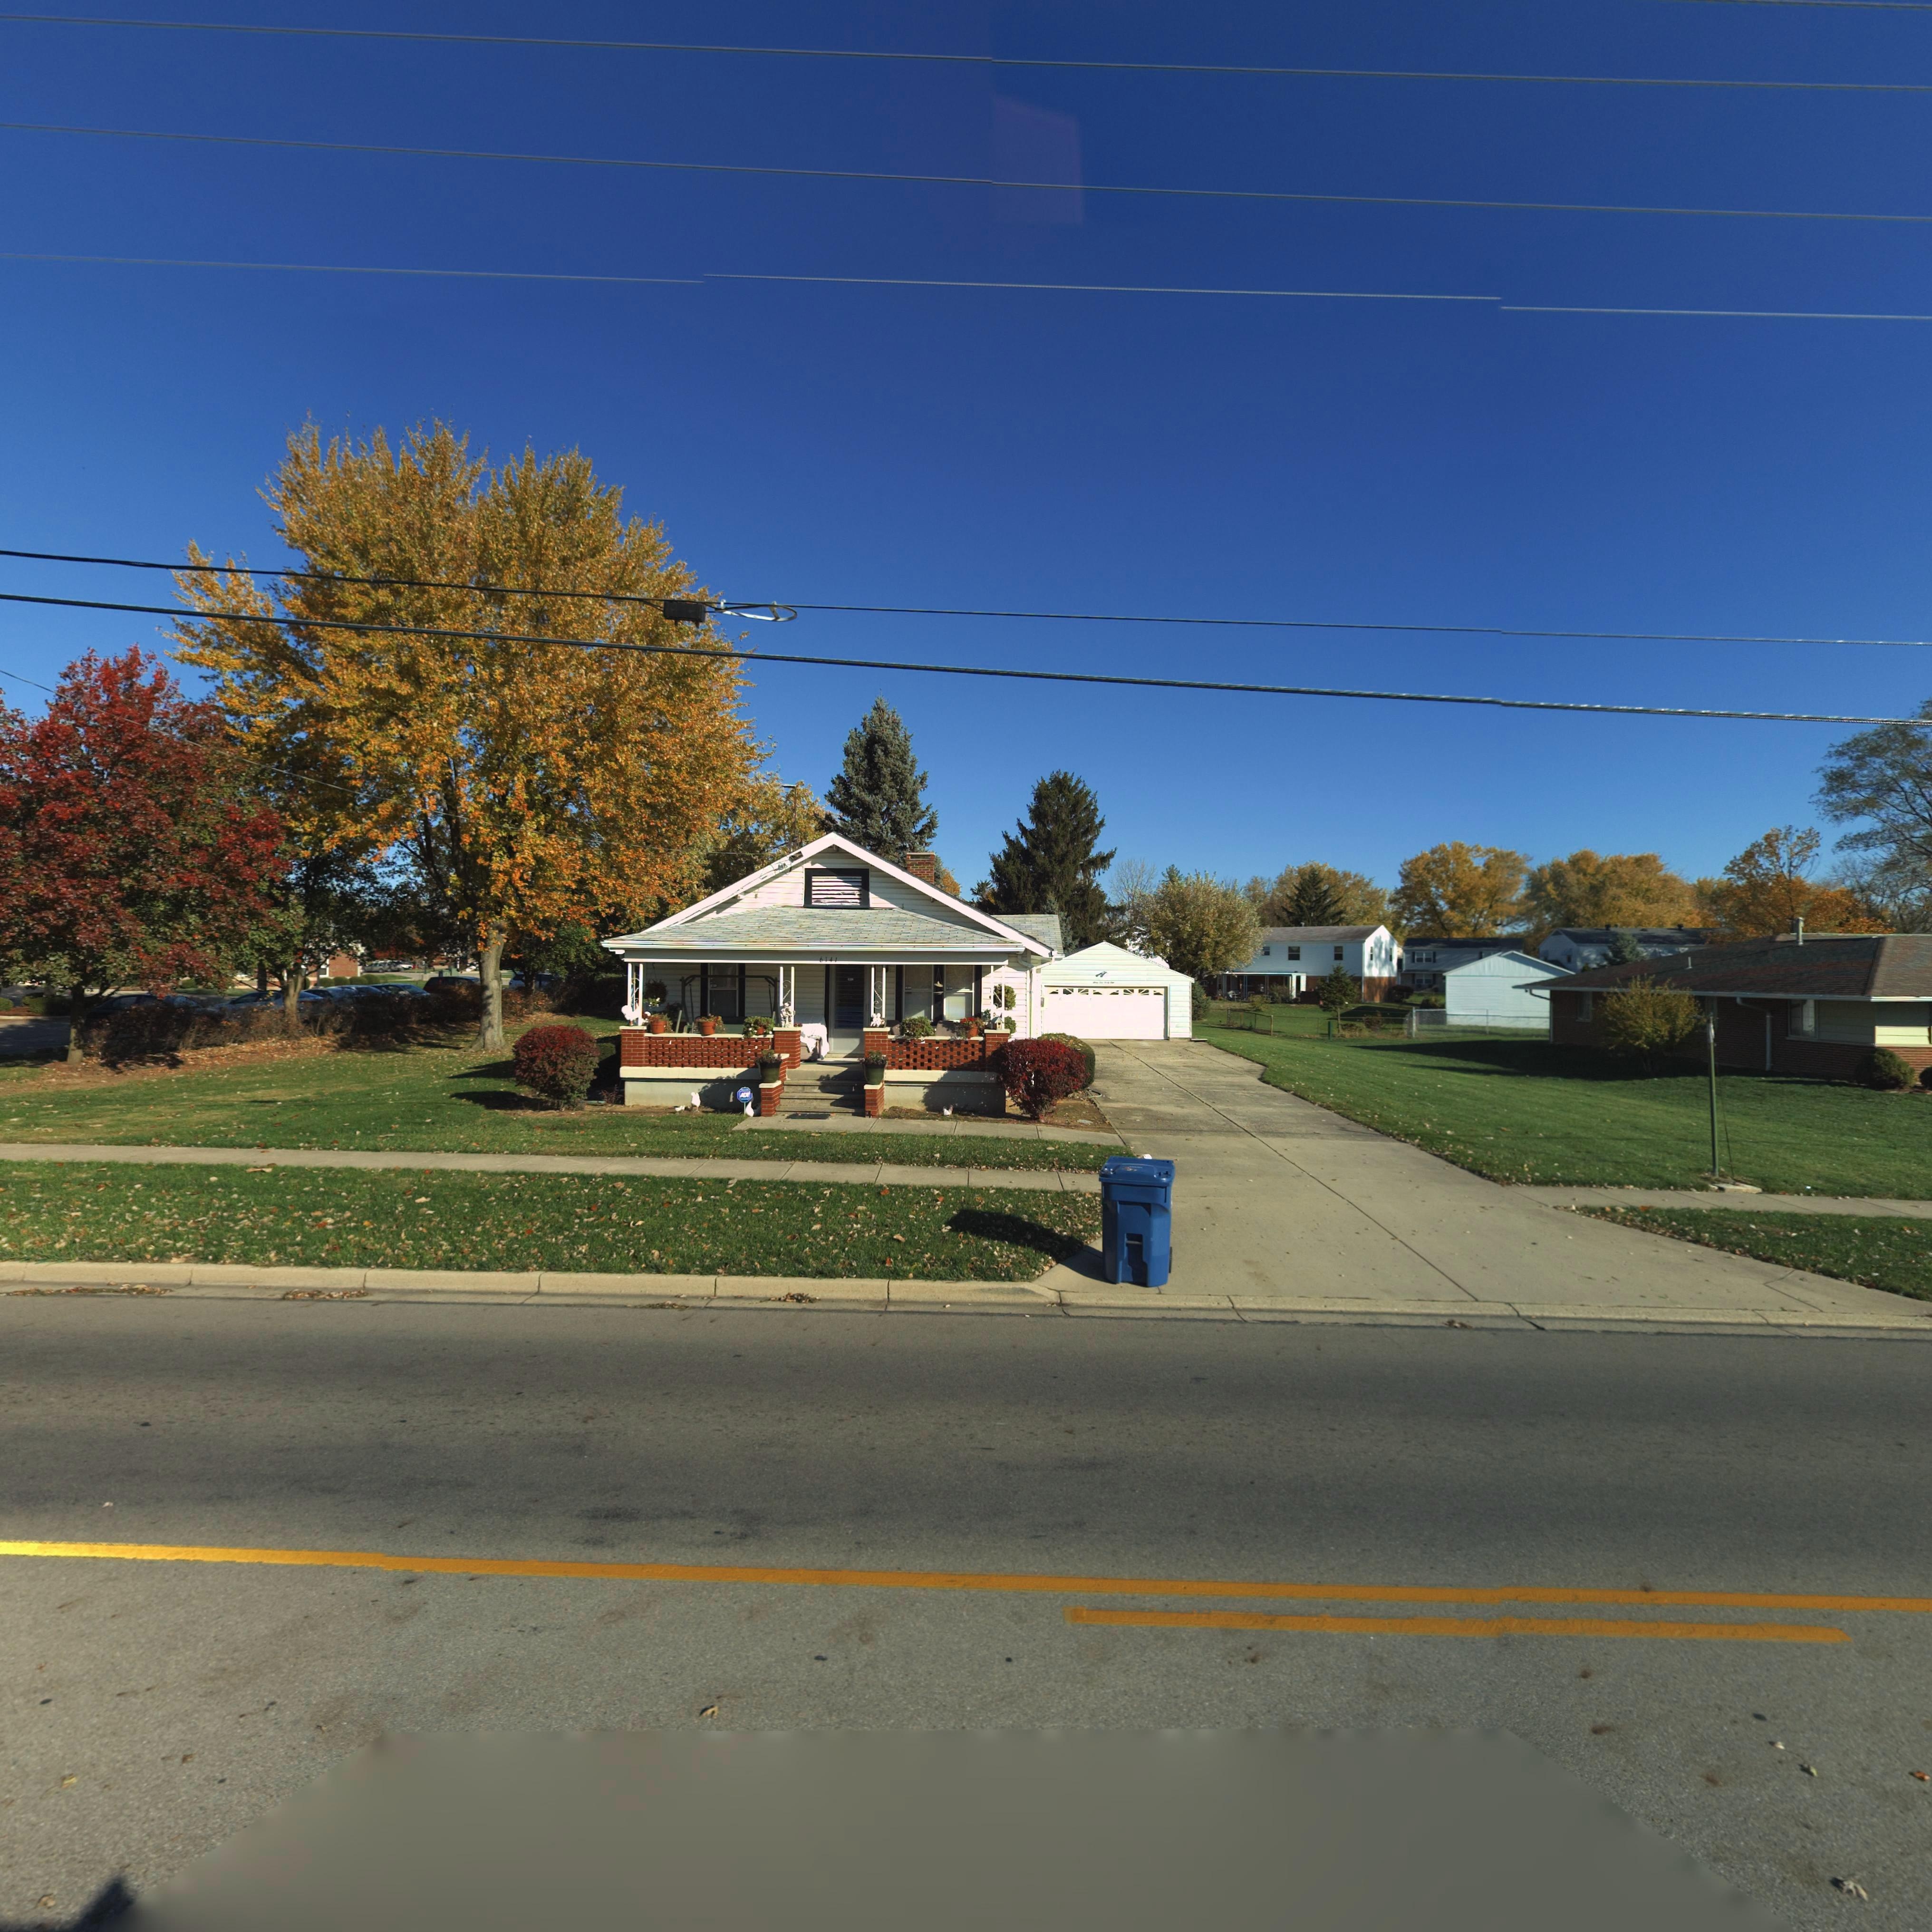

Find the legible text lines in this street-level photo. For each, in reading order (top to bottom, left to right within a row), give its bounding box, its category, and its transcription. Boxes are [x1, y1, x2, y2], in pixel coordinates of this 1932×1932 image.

[819, 956, 838, 963] StreetNumber: 6141